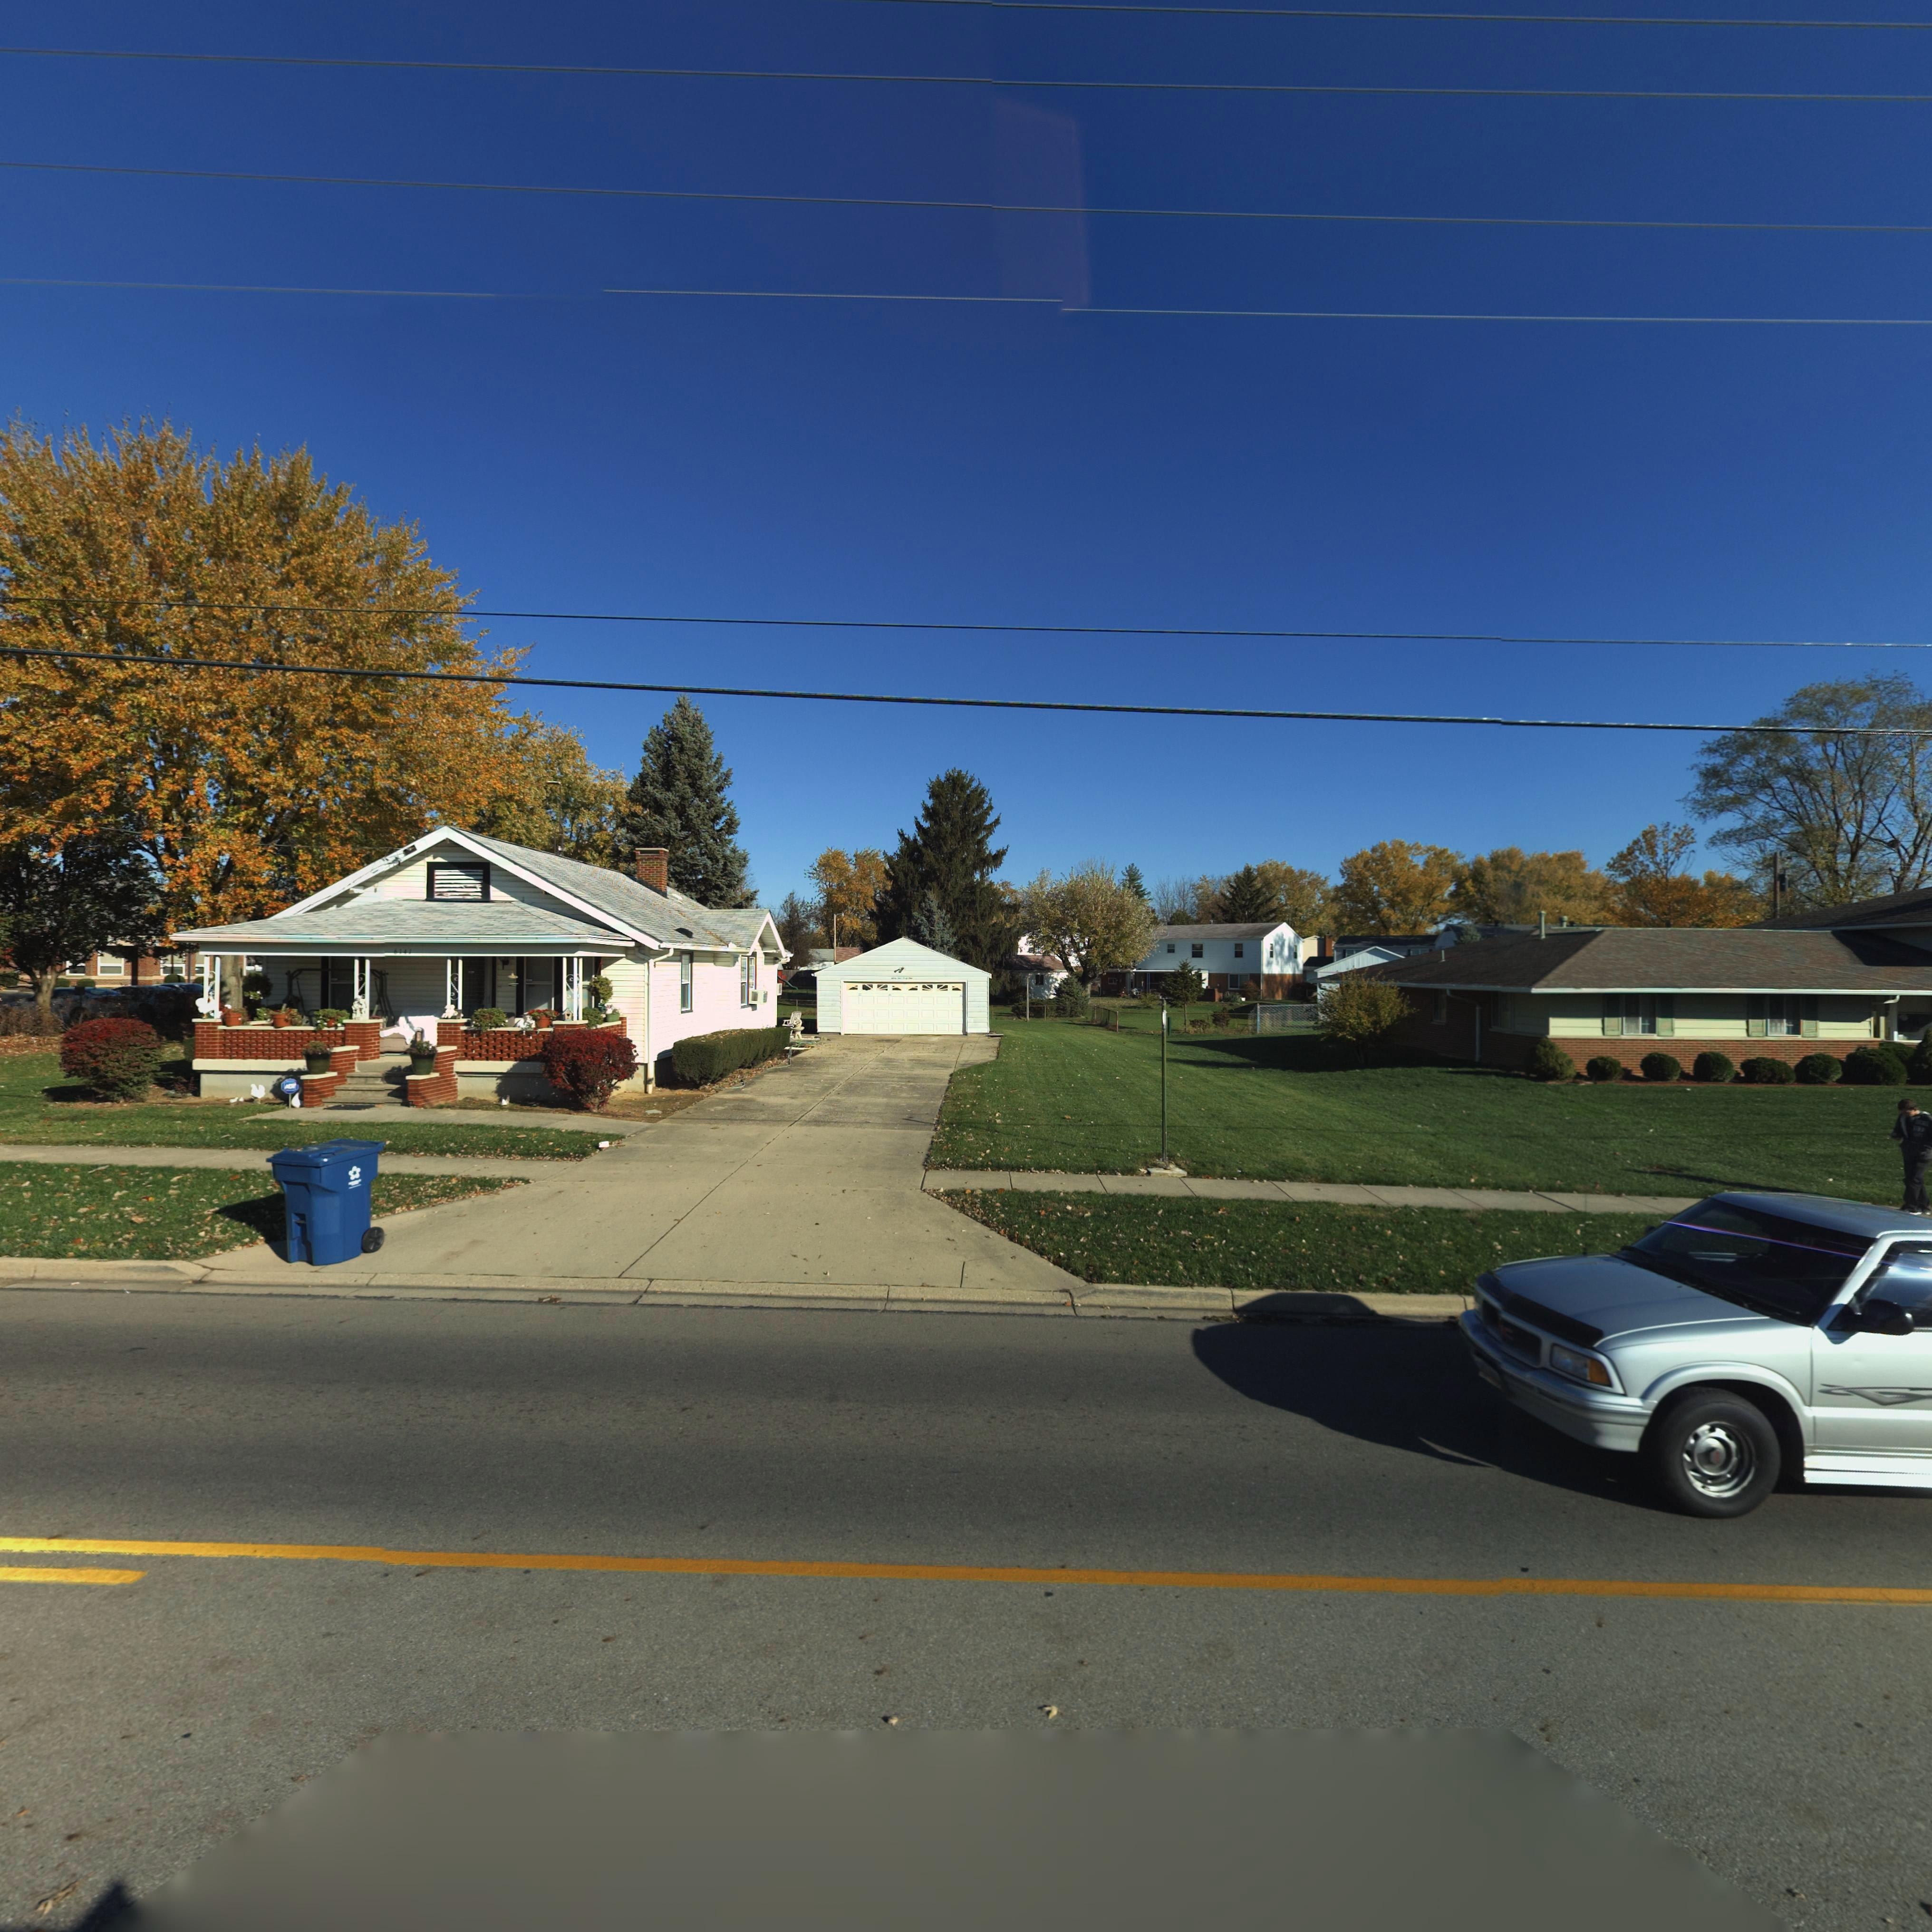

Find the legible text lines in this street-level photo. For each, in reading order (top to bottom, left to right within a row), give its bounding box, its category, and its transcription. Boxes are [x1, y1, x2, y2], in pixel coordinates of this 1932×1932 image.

[393, 948, 413, 955] StreetNumber: 6141